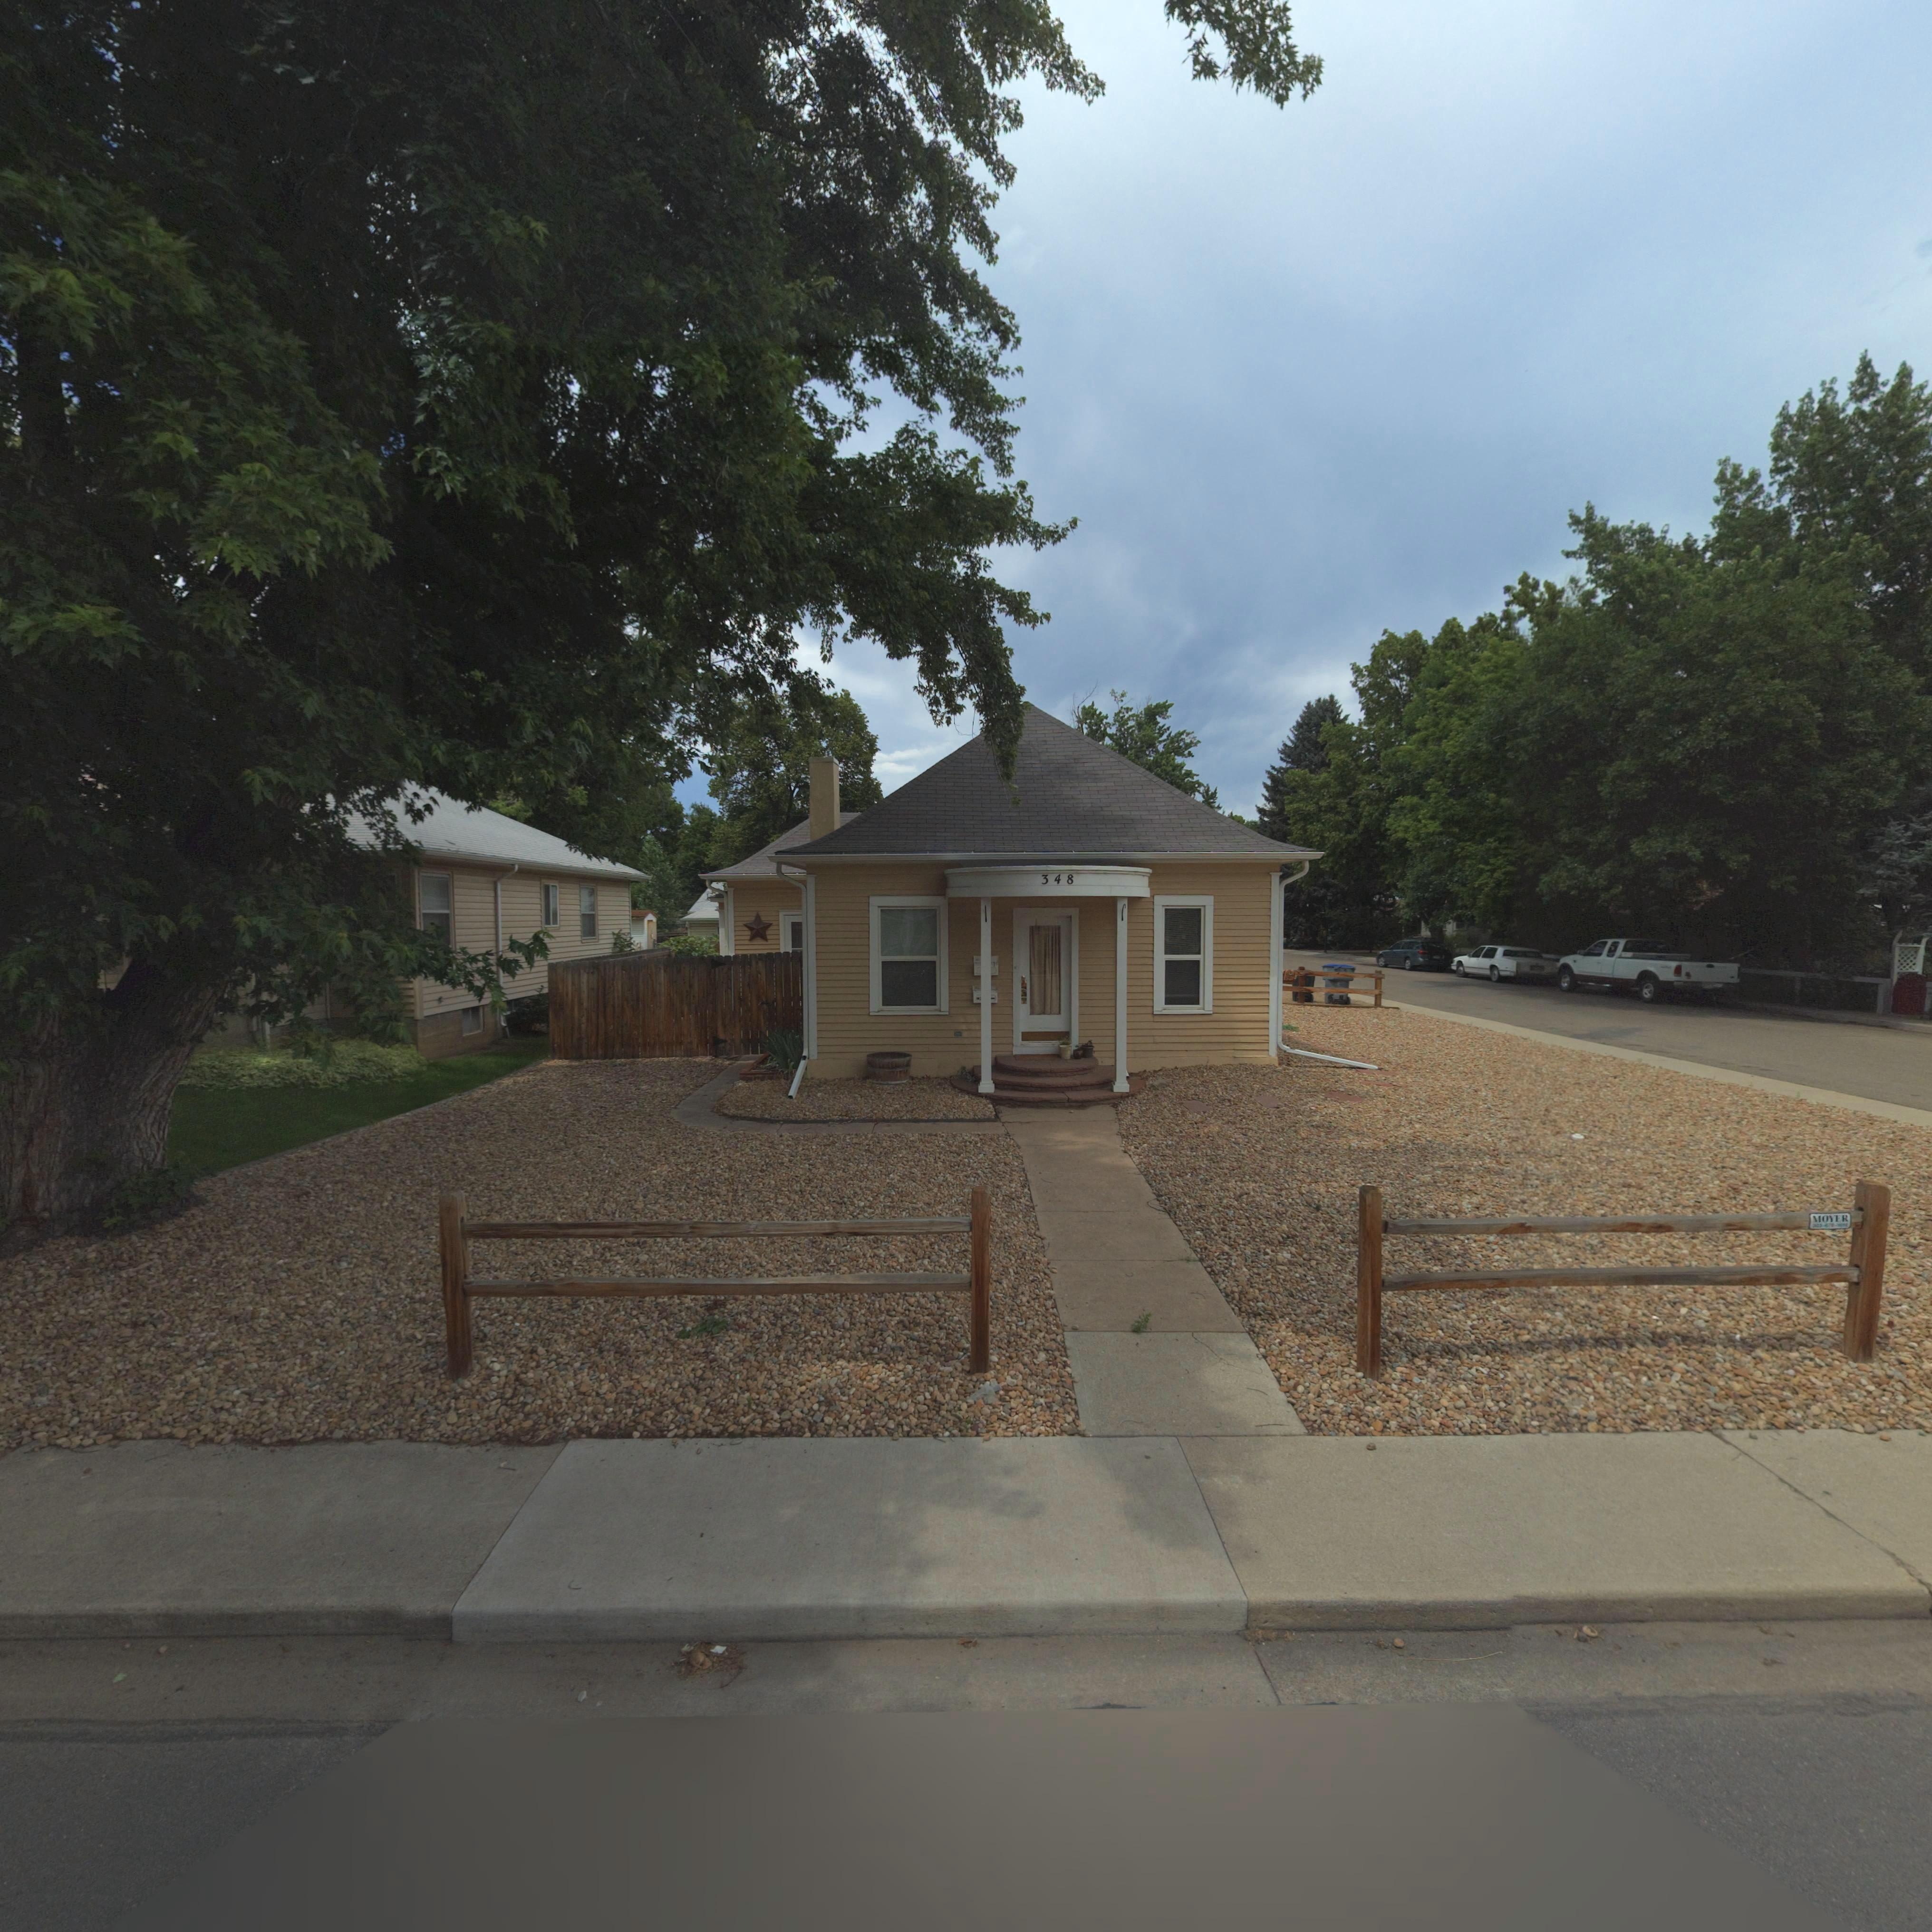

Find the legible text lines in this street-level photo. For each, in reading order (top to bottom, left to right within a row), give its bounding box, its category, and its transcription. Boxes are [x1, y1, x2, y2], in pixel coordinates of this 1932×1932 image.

[1042, 874, 1073, 885] StreetNumber: 348